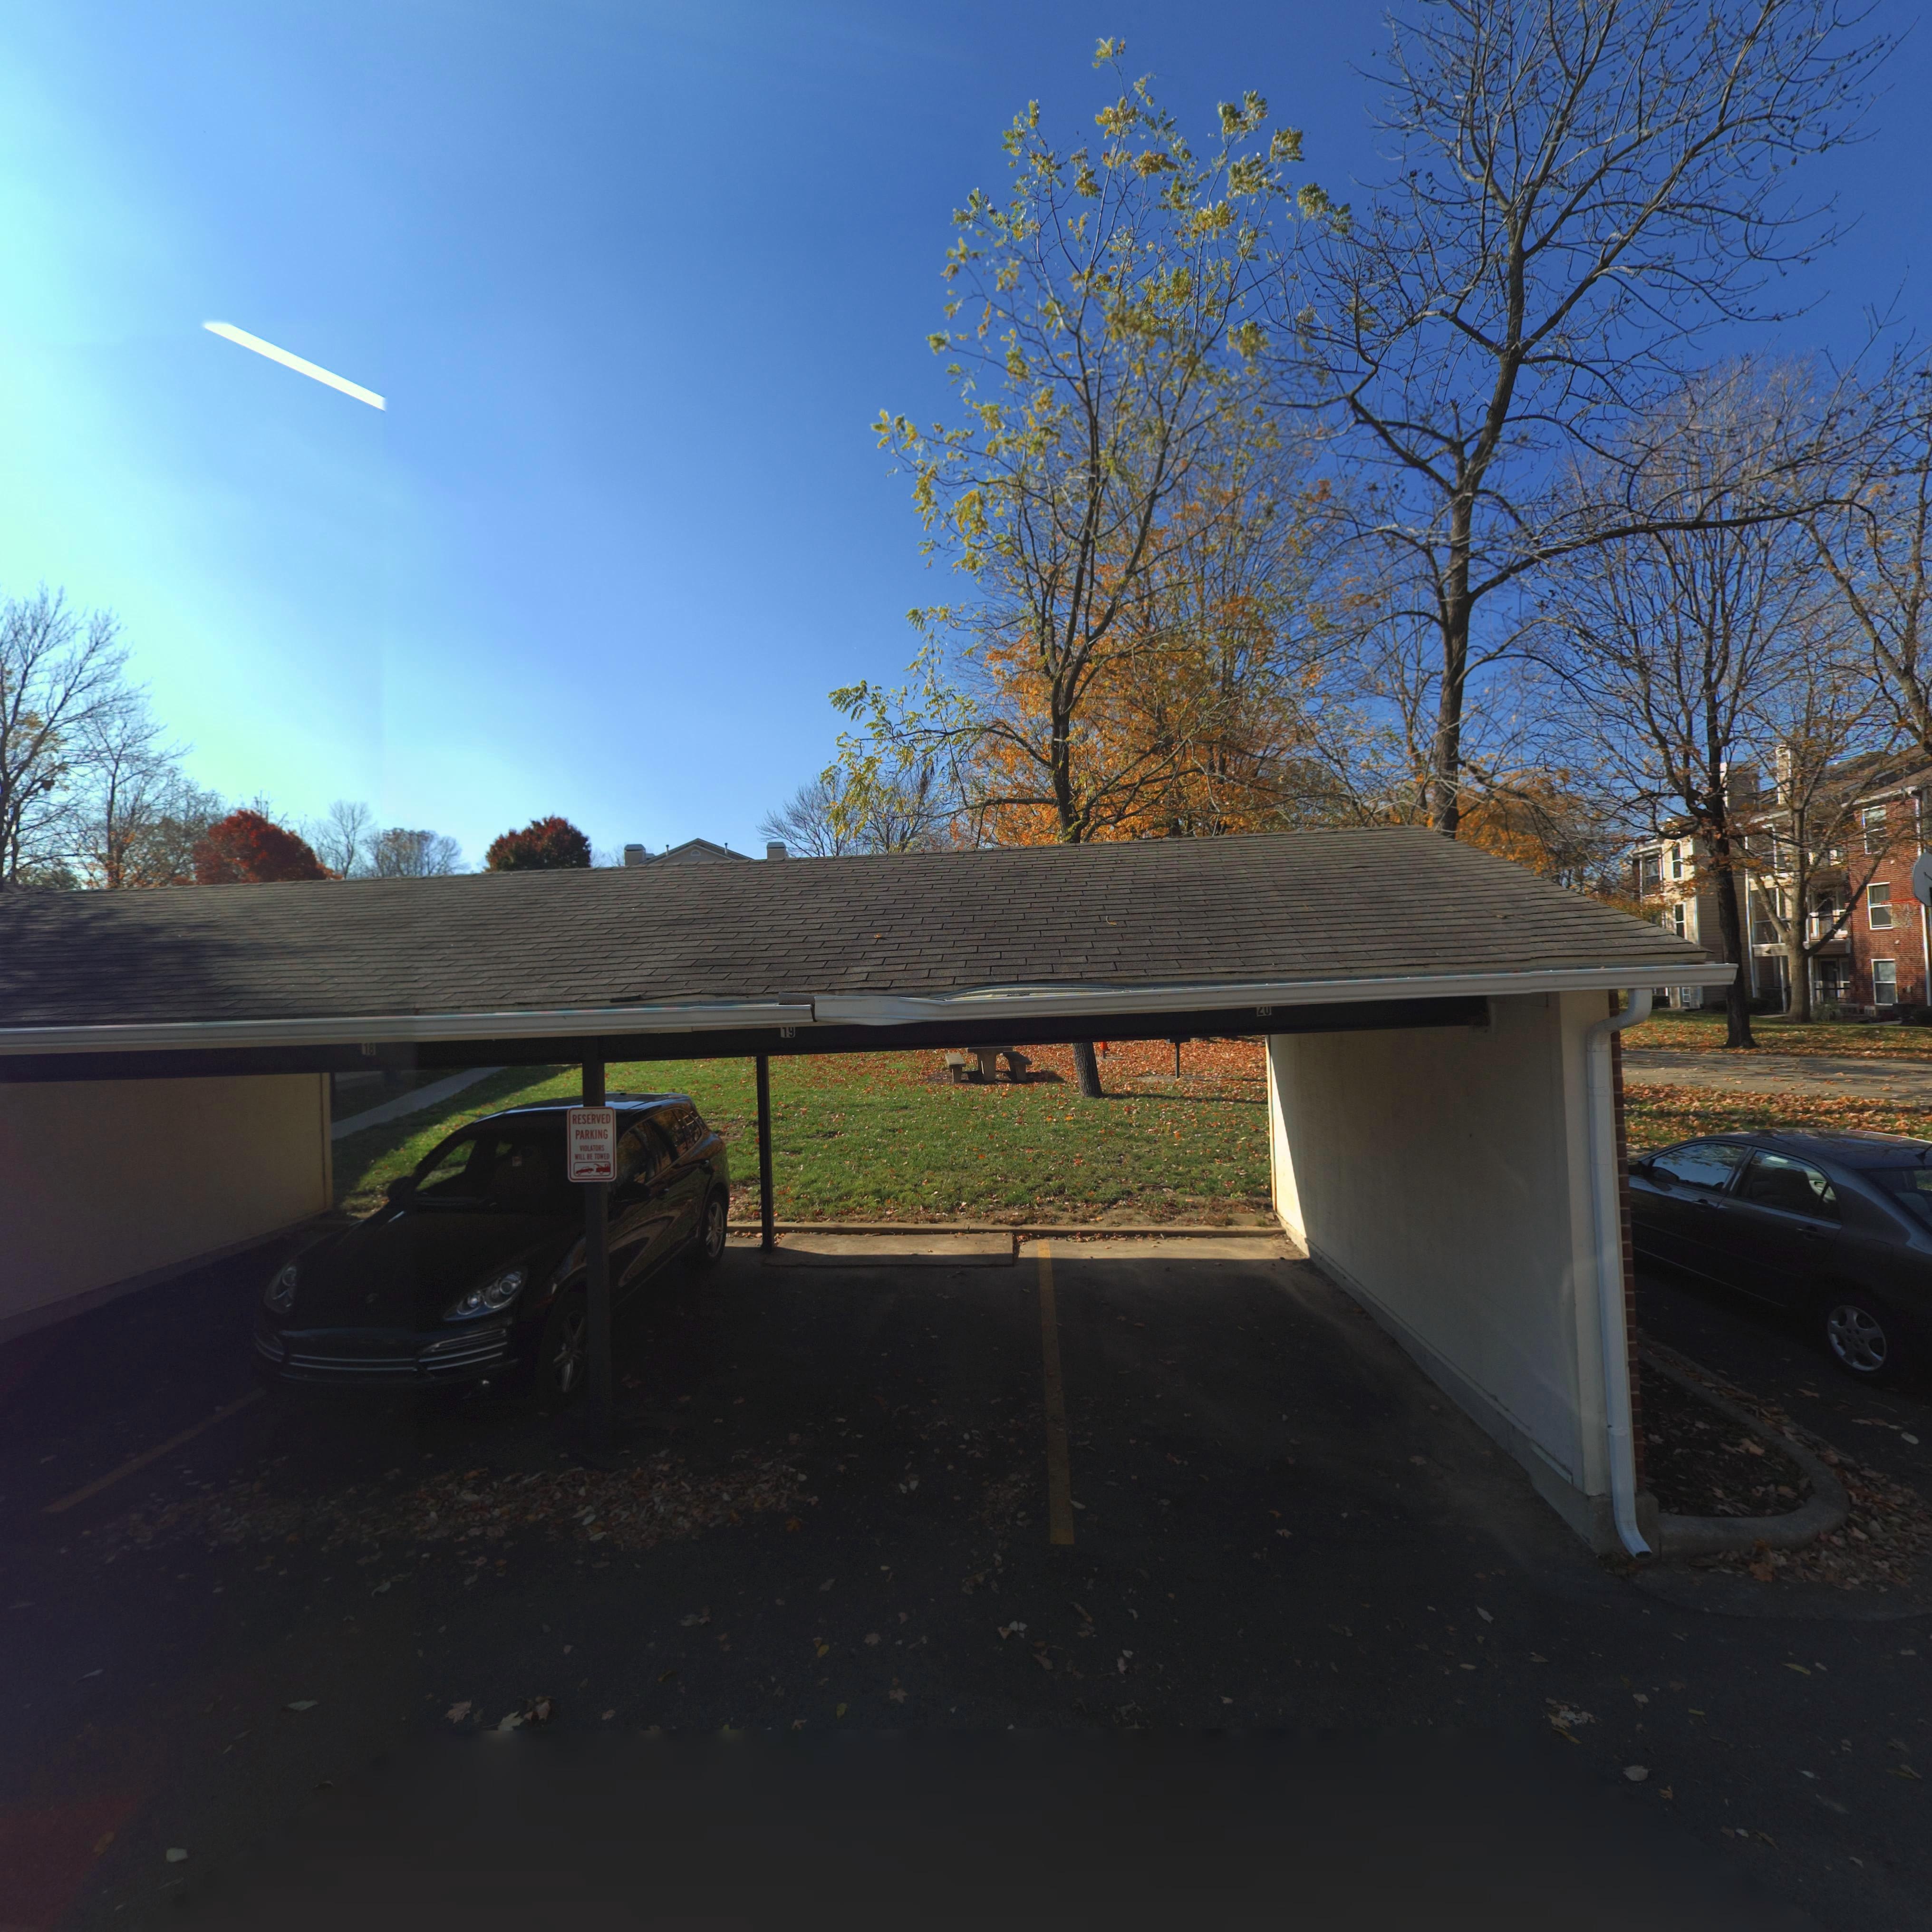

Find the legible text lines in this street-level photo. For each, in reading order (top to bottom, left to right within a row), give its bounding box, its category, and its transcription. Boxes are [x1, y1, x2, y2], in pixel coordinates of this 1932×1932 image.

[363, 1042, 375, 1056] StreetNumber: 18
[571, 1112, 612, 1125] None: RESERVED
[574, 1128, 609, 1141] None: PARKING
[578, 1143, 606, 1153] None: VIOLATORS
[573, 1151, 611, 1161] None: *ILL BE TO*ED